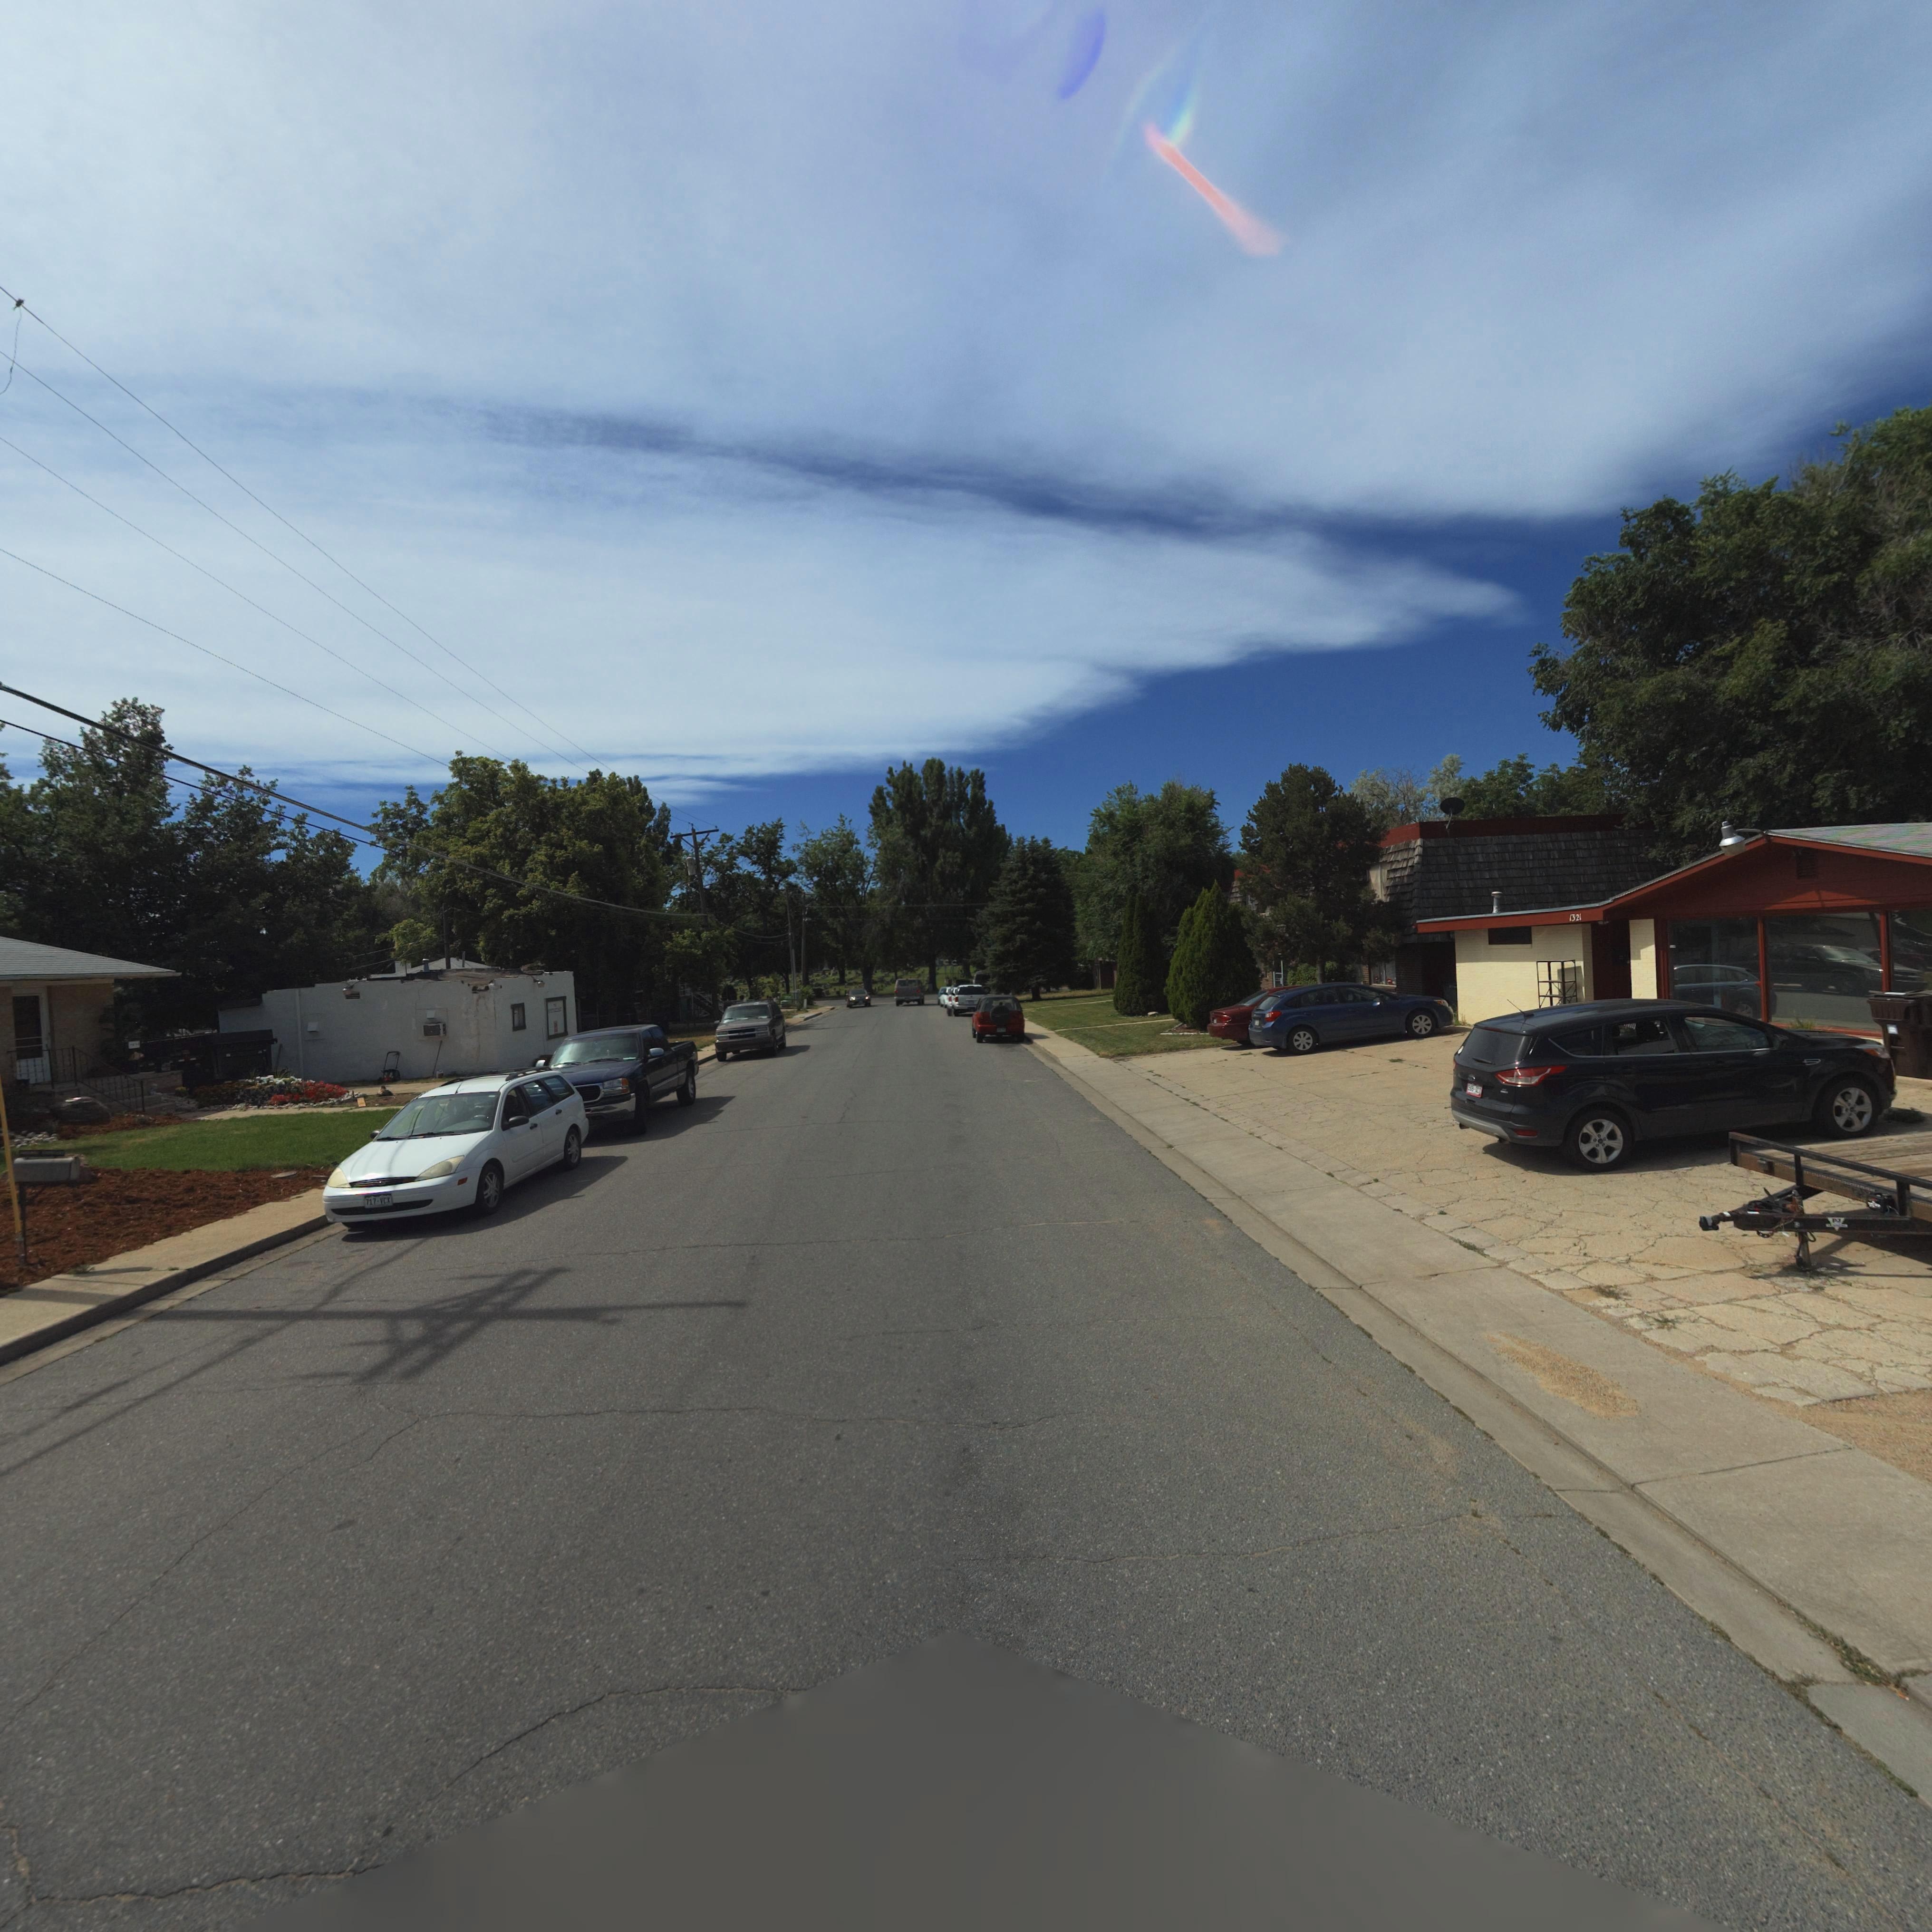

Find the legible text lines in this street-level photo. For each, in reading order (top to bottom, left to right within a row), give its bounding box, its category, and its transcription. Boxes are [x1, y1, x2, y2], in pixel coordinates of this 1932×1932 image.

[1569, 913, 1581, 922] StreetNumber: 1321